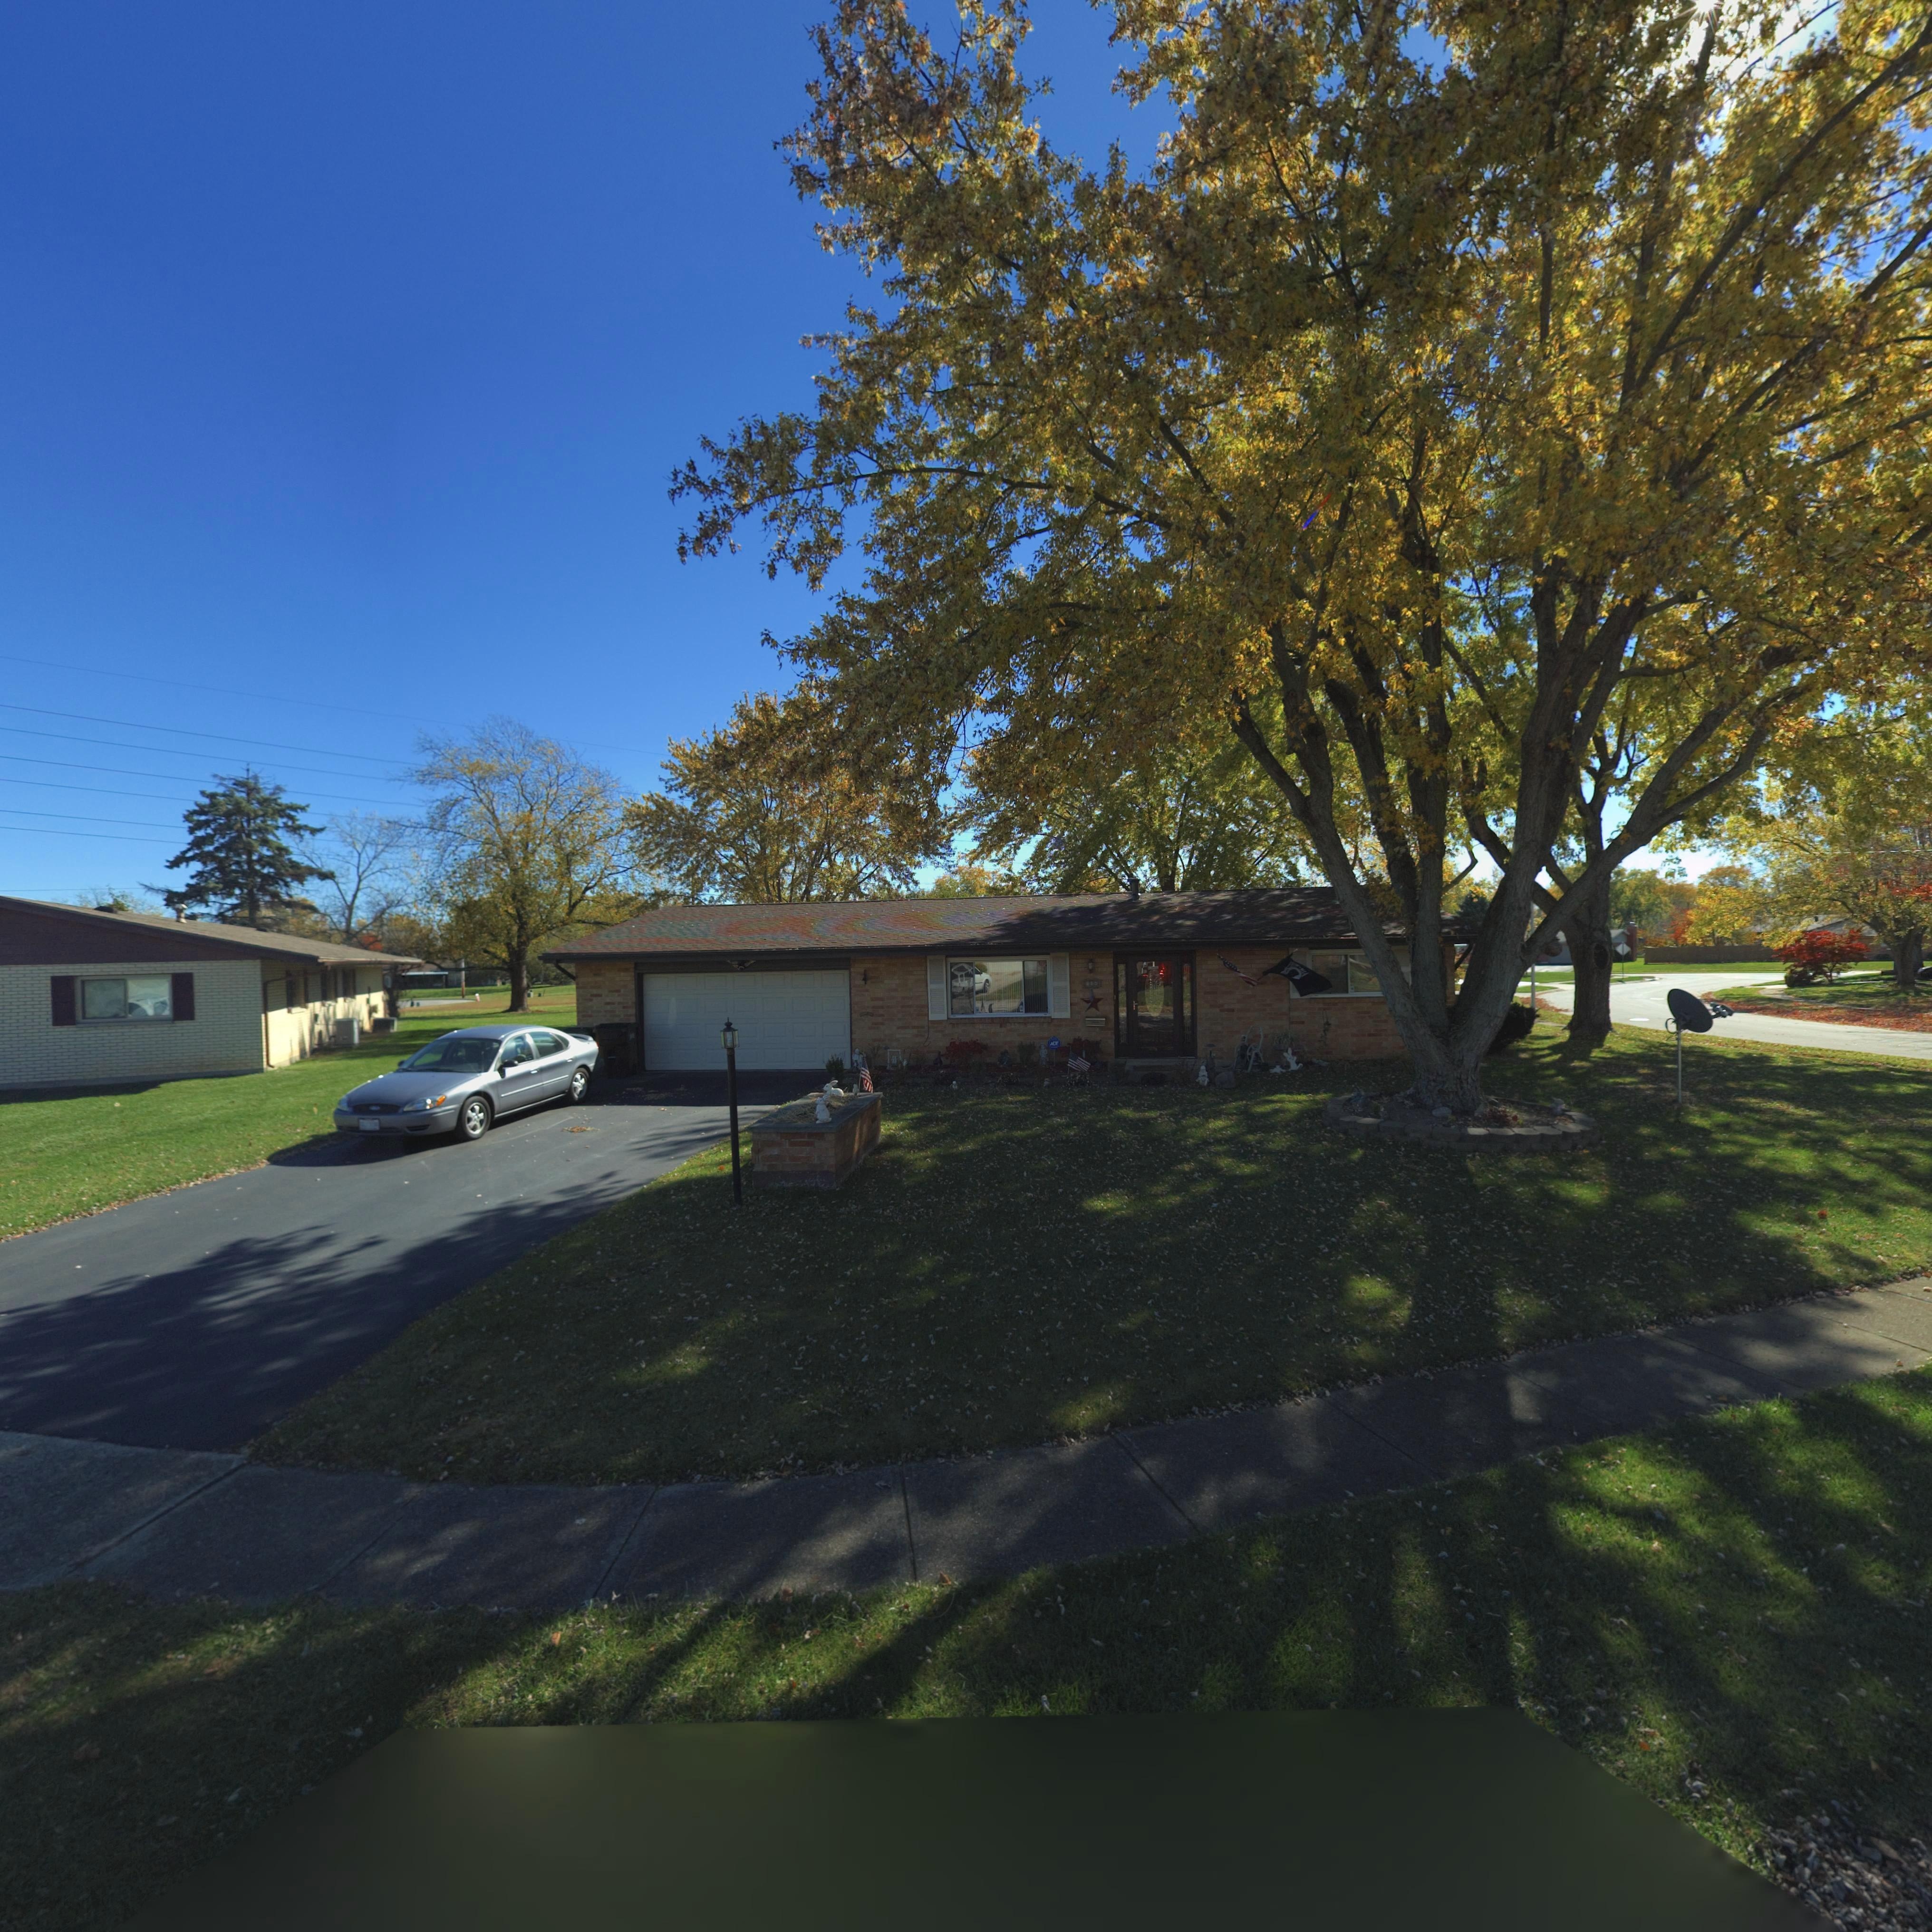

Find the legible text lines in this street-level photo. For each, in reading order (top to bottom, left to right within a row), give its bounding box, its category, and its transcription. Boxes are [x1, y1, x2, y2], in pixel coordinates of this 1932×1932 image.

[1085, 981, 1098, 986] StreetNumber: *80